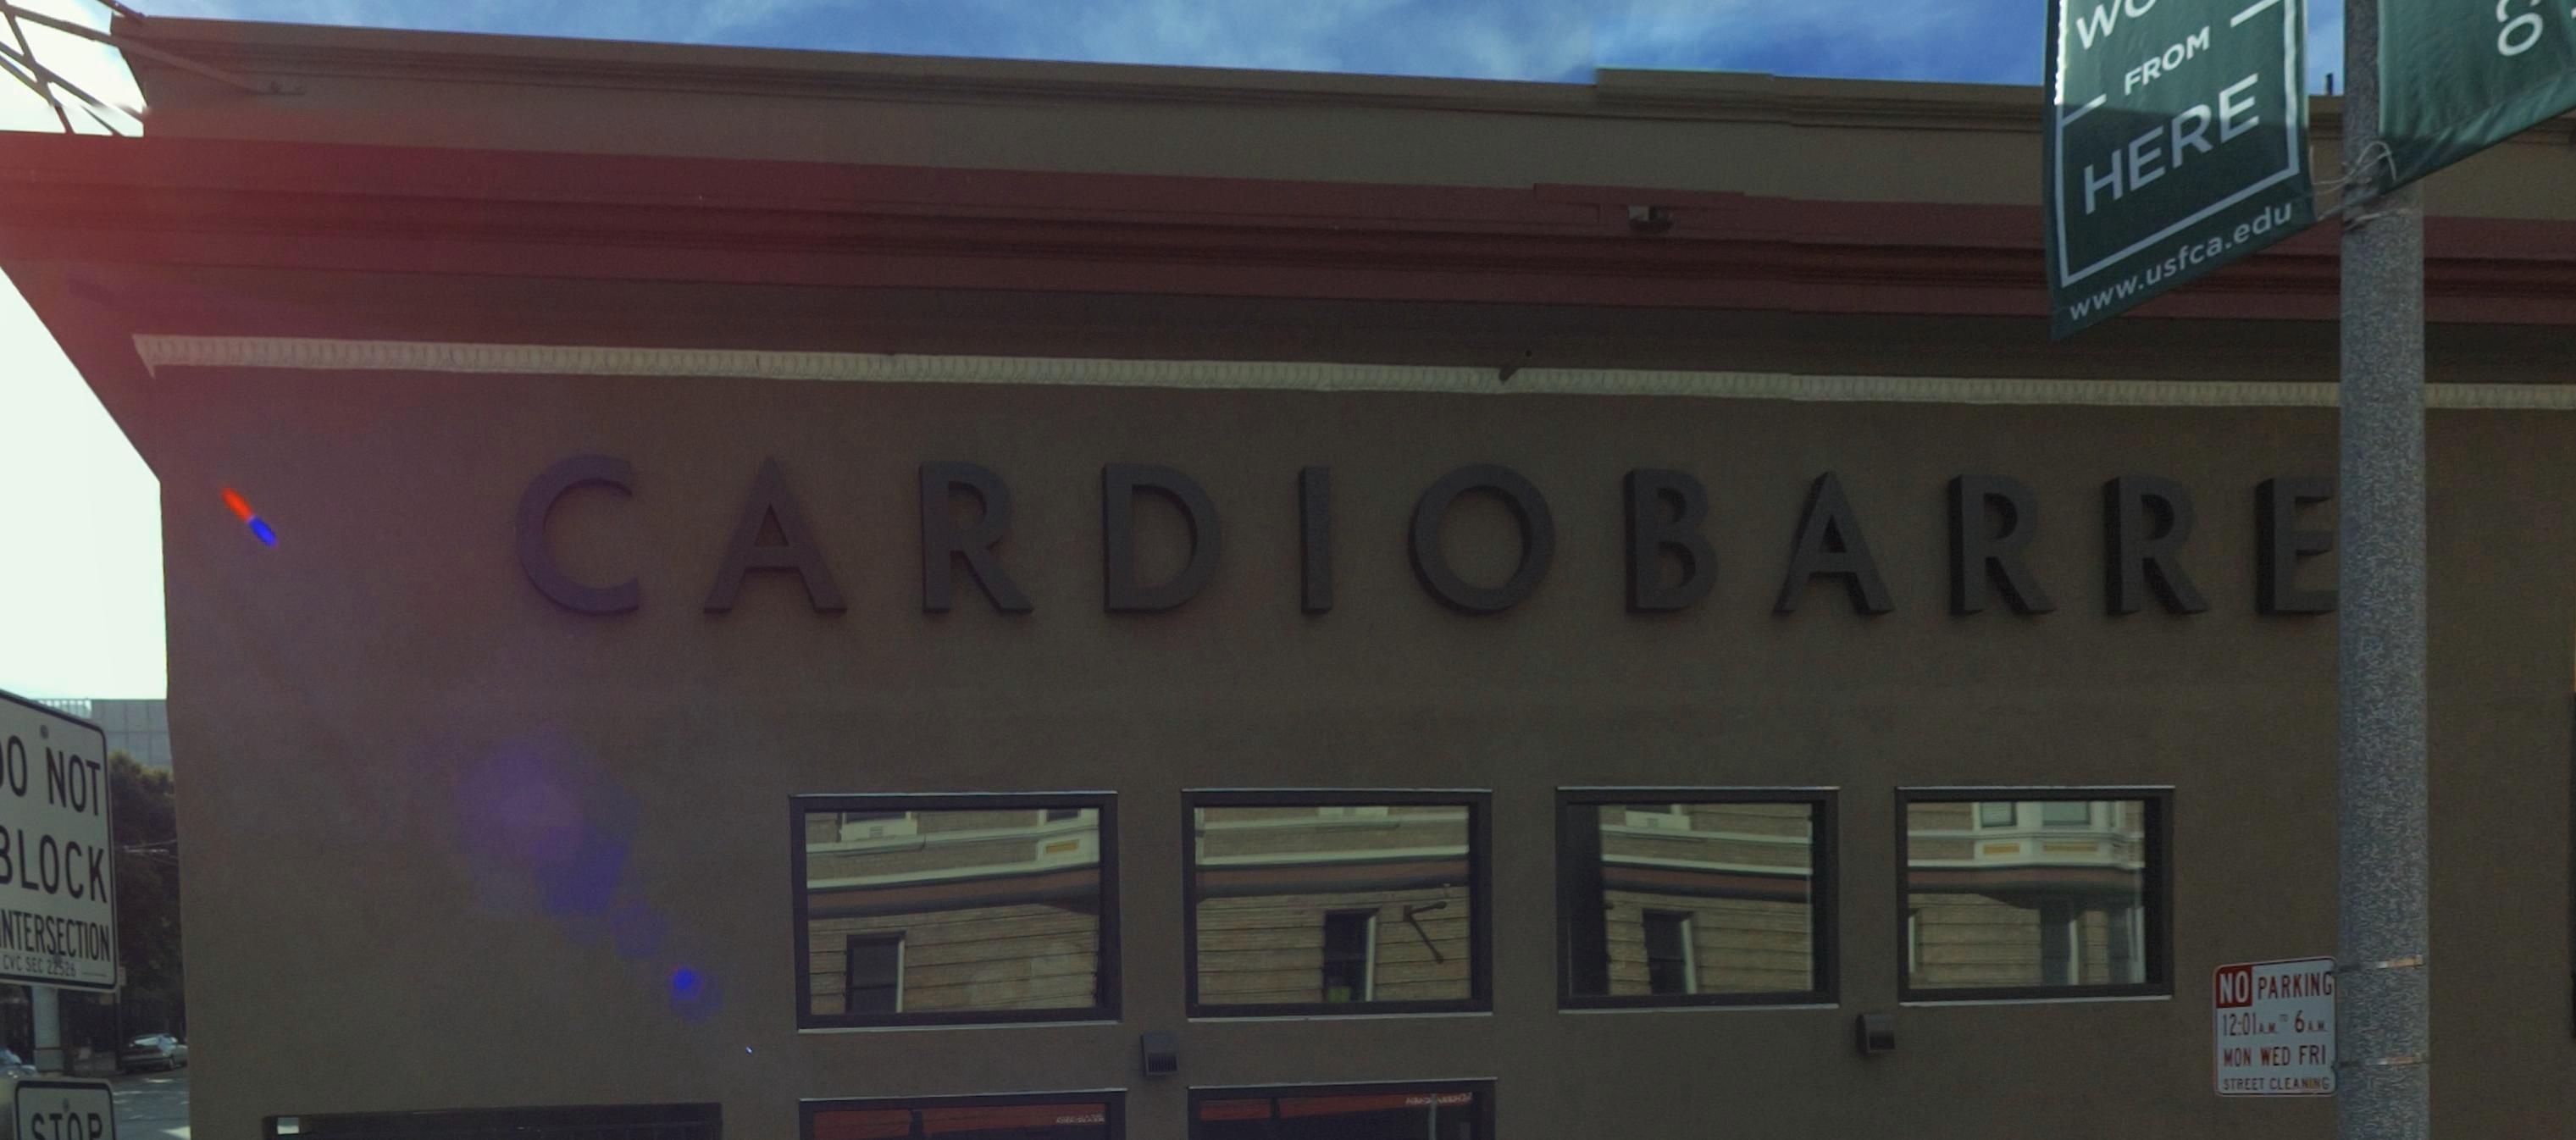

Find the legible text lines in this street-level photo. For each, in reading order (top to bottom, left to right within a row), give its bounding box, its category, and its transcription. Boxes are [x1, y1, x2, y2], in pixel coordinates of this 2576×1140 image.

[2121, 19, 2213, 103] None: FROM
[2492, 5, 2547, 62] None: o
[2080, 65, 2263, 223] None: HERE
[2064, 196, 2295, 327] None: www.usfca.edu
[507, 444, 2349, 637] BusinessName: CARDIOBARRE
[3, 727, 105, 822] None: O NOT
[13, 822, 111, 908] None: LOCK
[0, 905, 114, 965] None: NTERSECTION
[1, 950, 80, 980] None: CVC SEC 22526
[2216, 967, 2335, 1007] None: NO PARKING
[2219, 1005, 2331, 1038] None: 12:01AM TO 6AM
[2220, 1040, 2330, 1071] None: MON WED FRI
[2220, 1074, 2332, 1093] None: STREET CLEANING